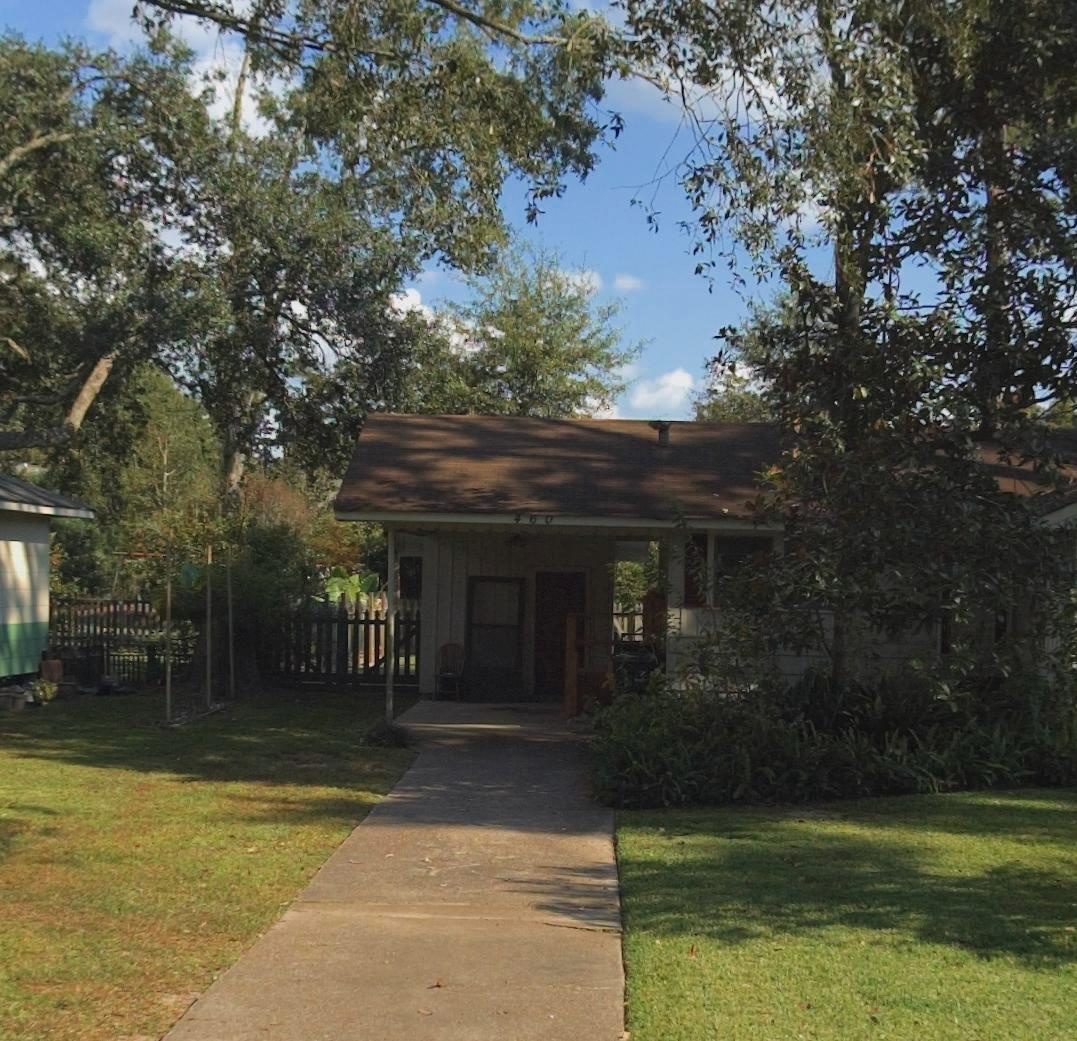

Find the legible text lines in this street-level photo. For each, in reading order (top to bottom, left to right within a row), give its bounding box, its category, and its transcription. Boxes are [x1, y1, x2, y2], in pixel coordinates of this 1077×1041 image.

[513, 514, 555, 524] StreetNumber: 460